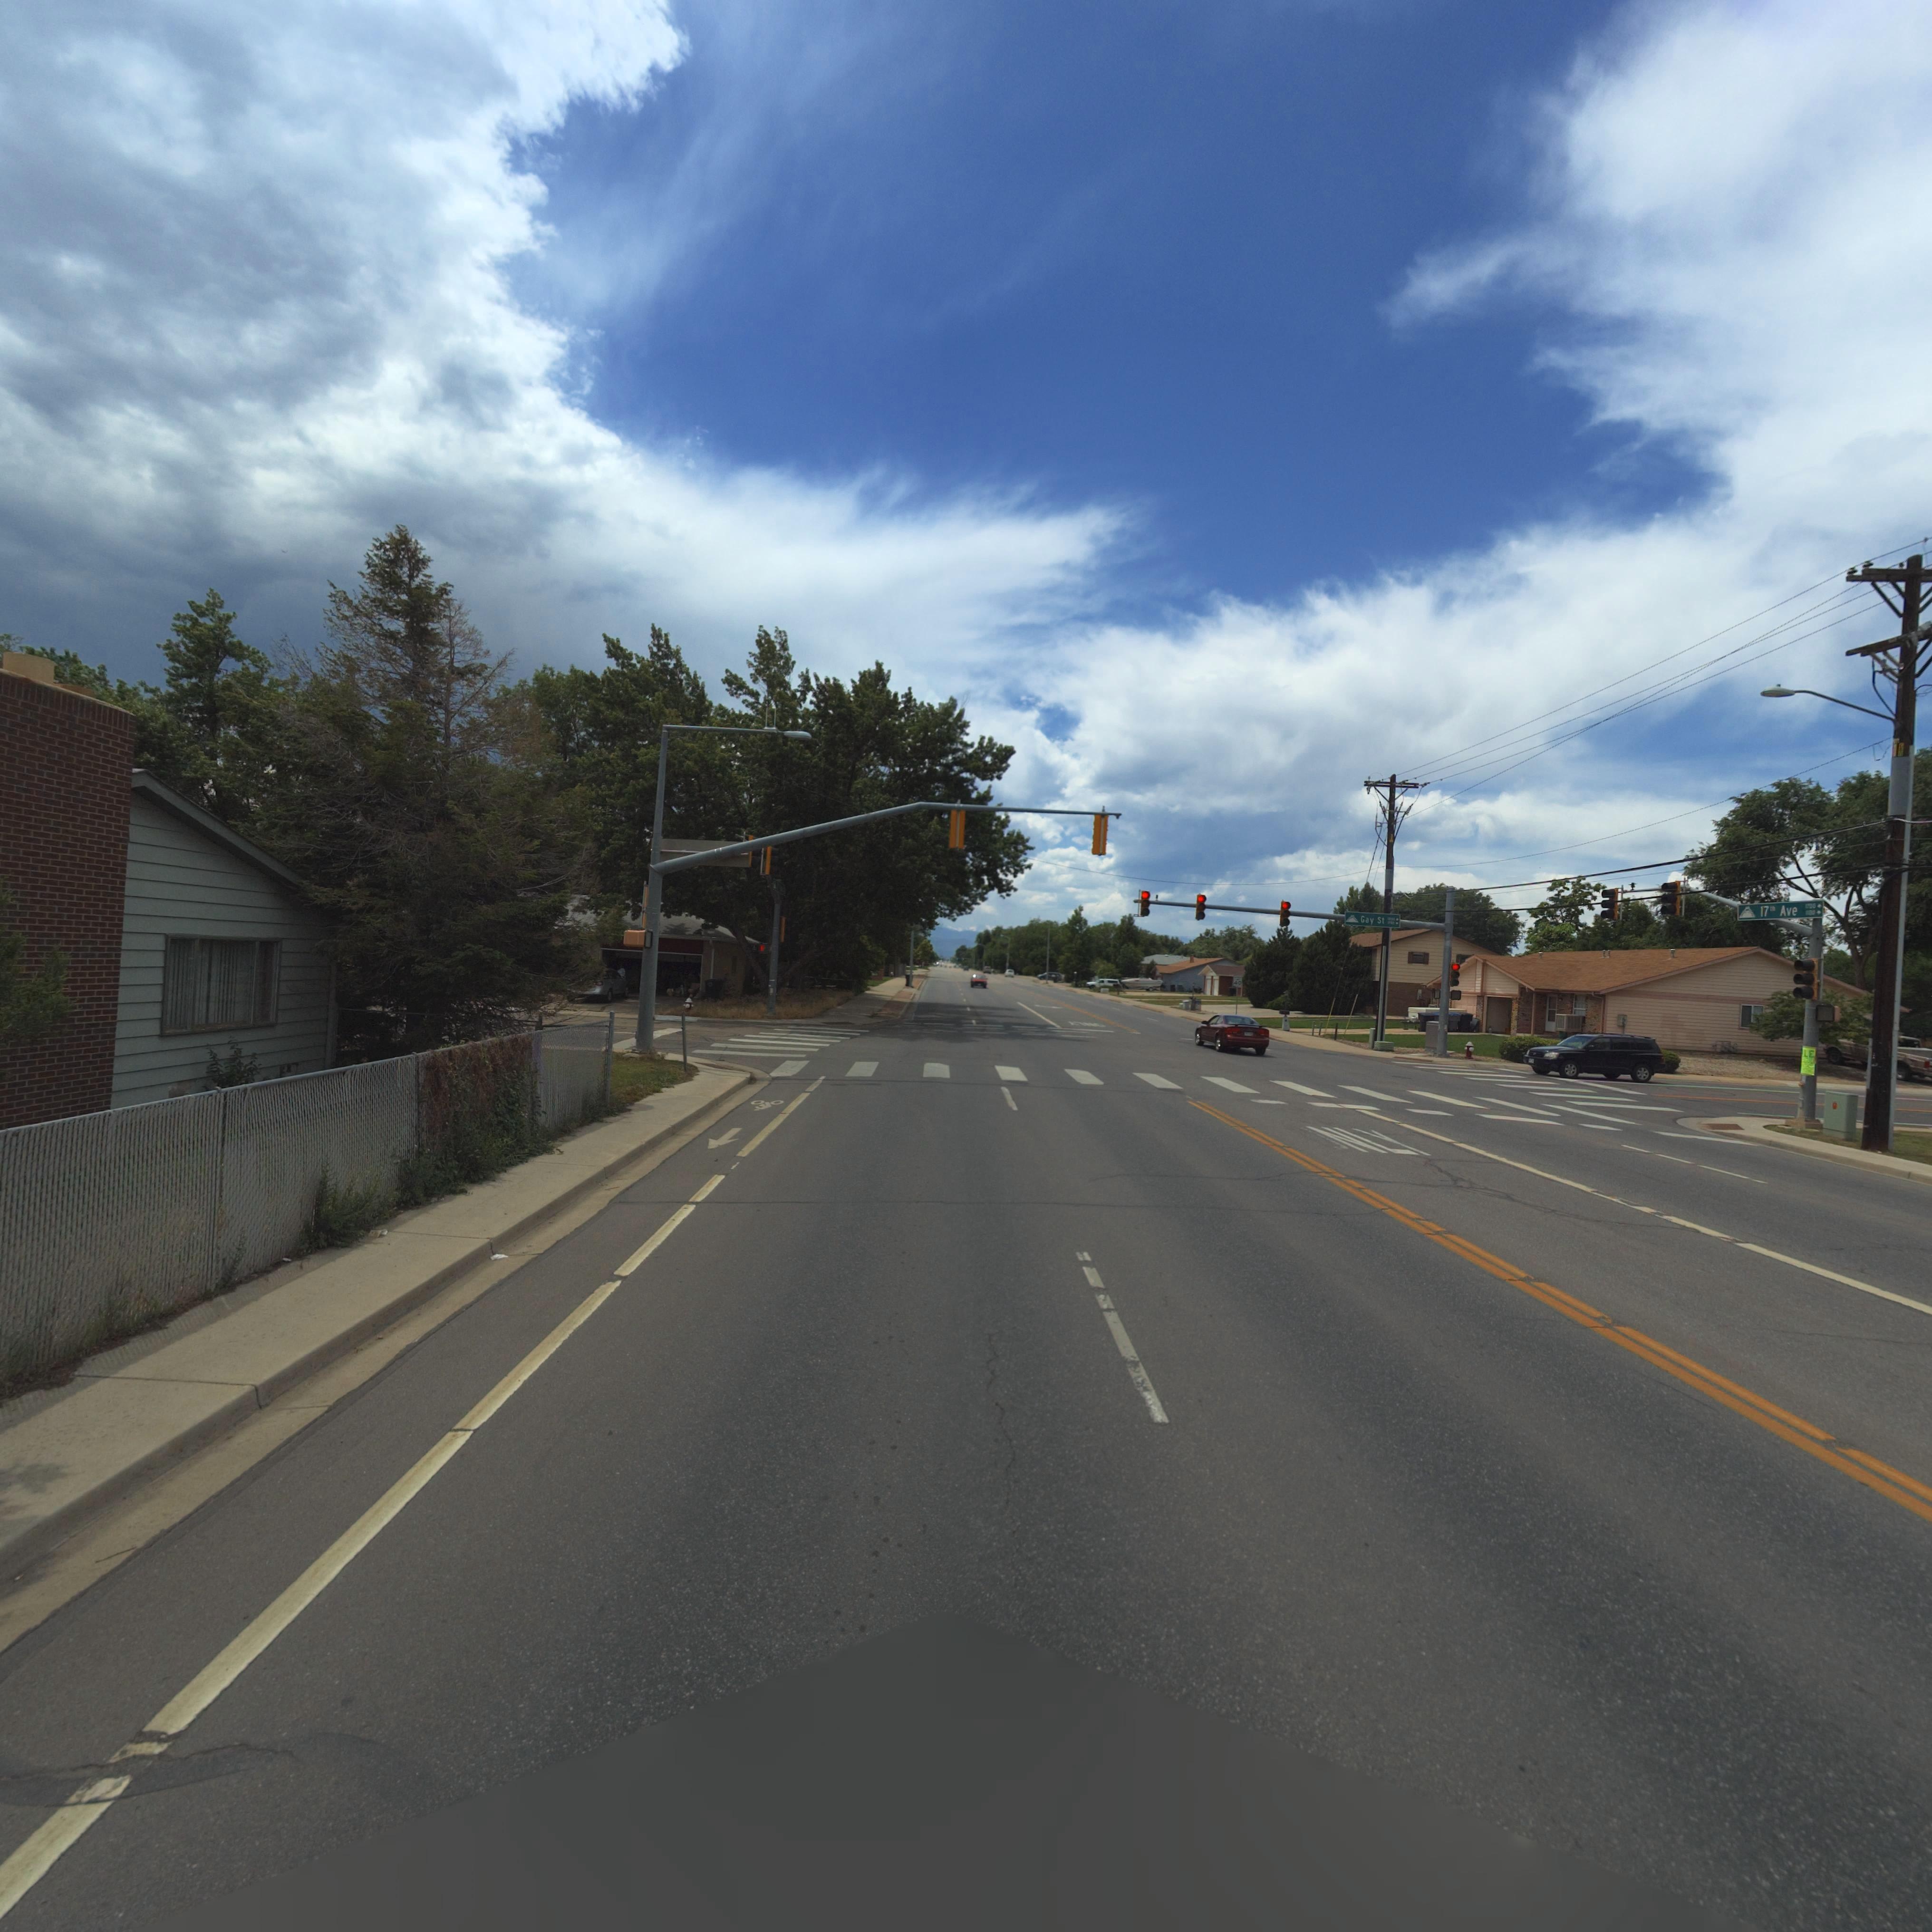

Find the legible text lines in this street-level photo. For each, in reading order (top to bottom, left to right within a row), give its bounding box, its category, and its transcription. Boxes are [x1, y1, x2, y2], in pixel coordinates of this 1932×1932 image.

[1759, 905, 1798, 918] StreetName: 17th Ave
[1805, 909, 1816, 915] StreetNumberRange: 1**0
[1360, 915, 1385, 925] StreetName: Gay St
[1387, 917, 1395, 920] StreetNumberRange: 1200
[1388, 921, 1395, 924] StreetName: 1*00